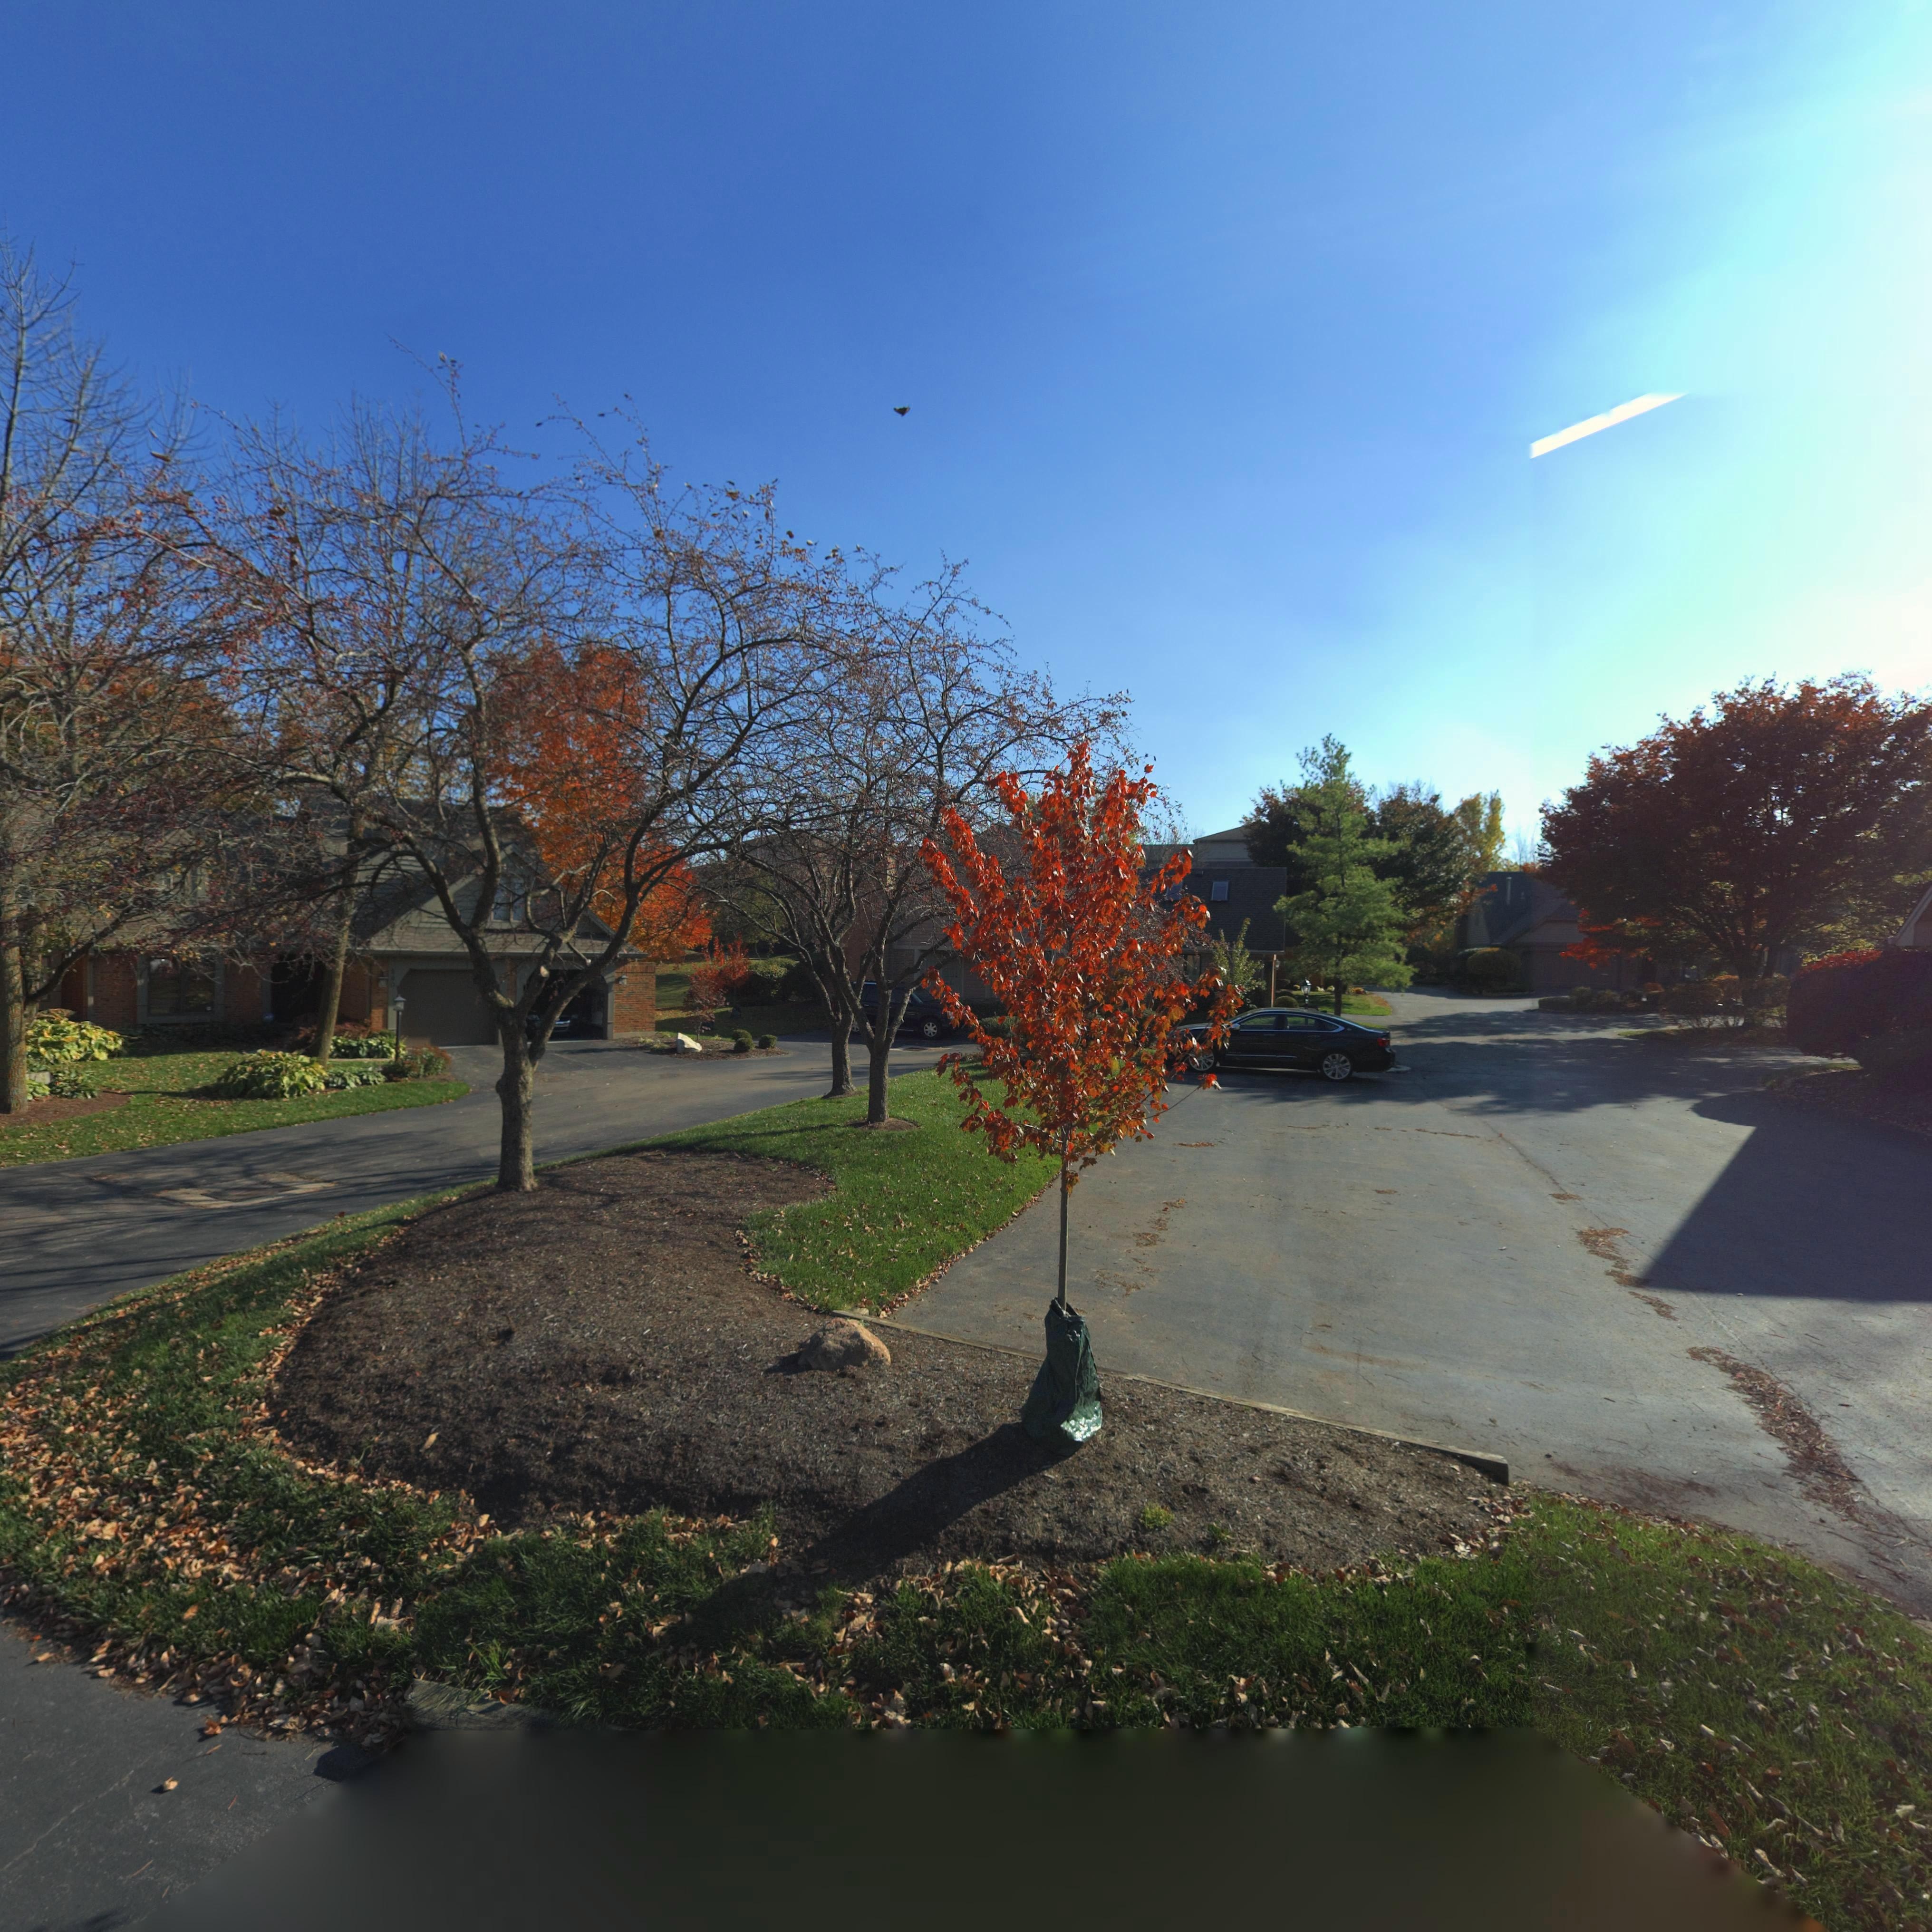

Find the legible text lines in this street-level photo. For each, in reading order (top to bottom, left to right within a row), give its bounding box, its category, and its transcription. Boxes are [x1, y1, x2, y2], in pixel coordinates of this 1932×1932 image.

[389, 967, 395, 988] StreetNumber: 590